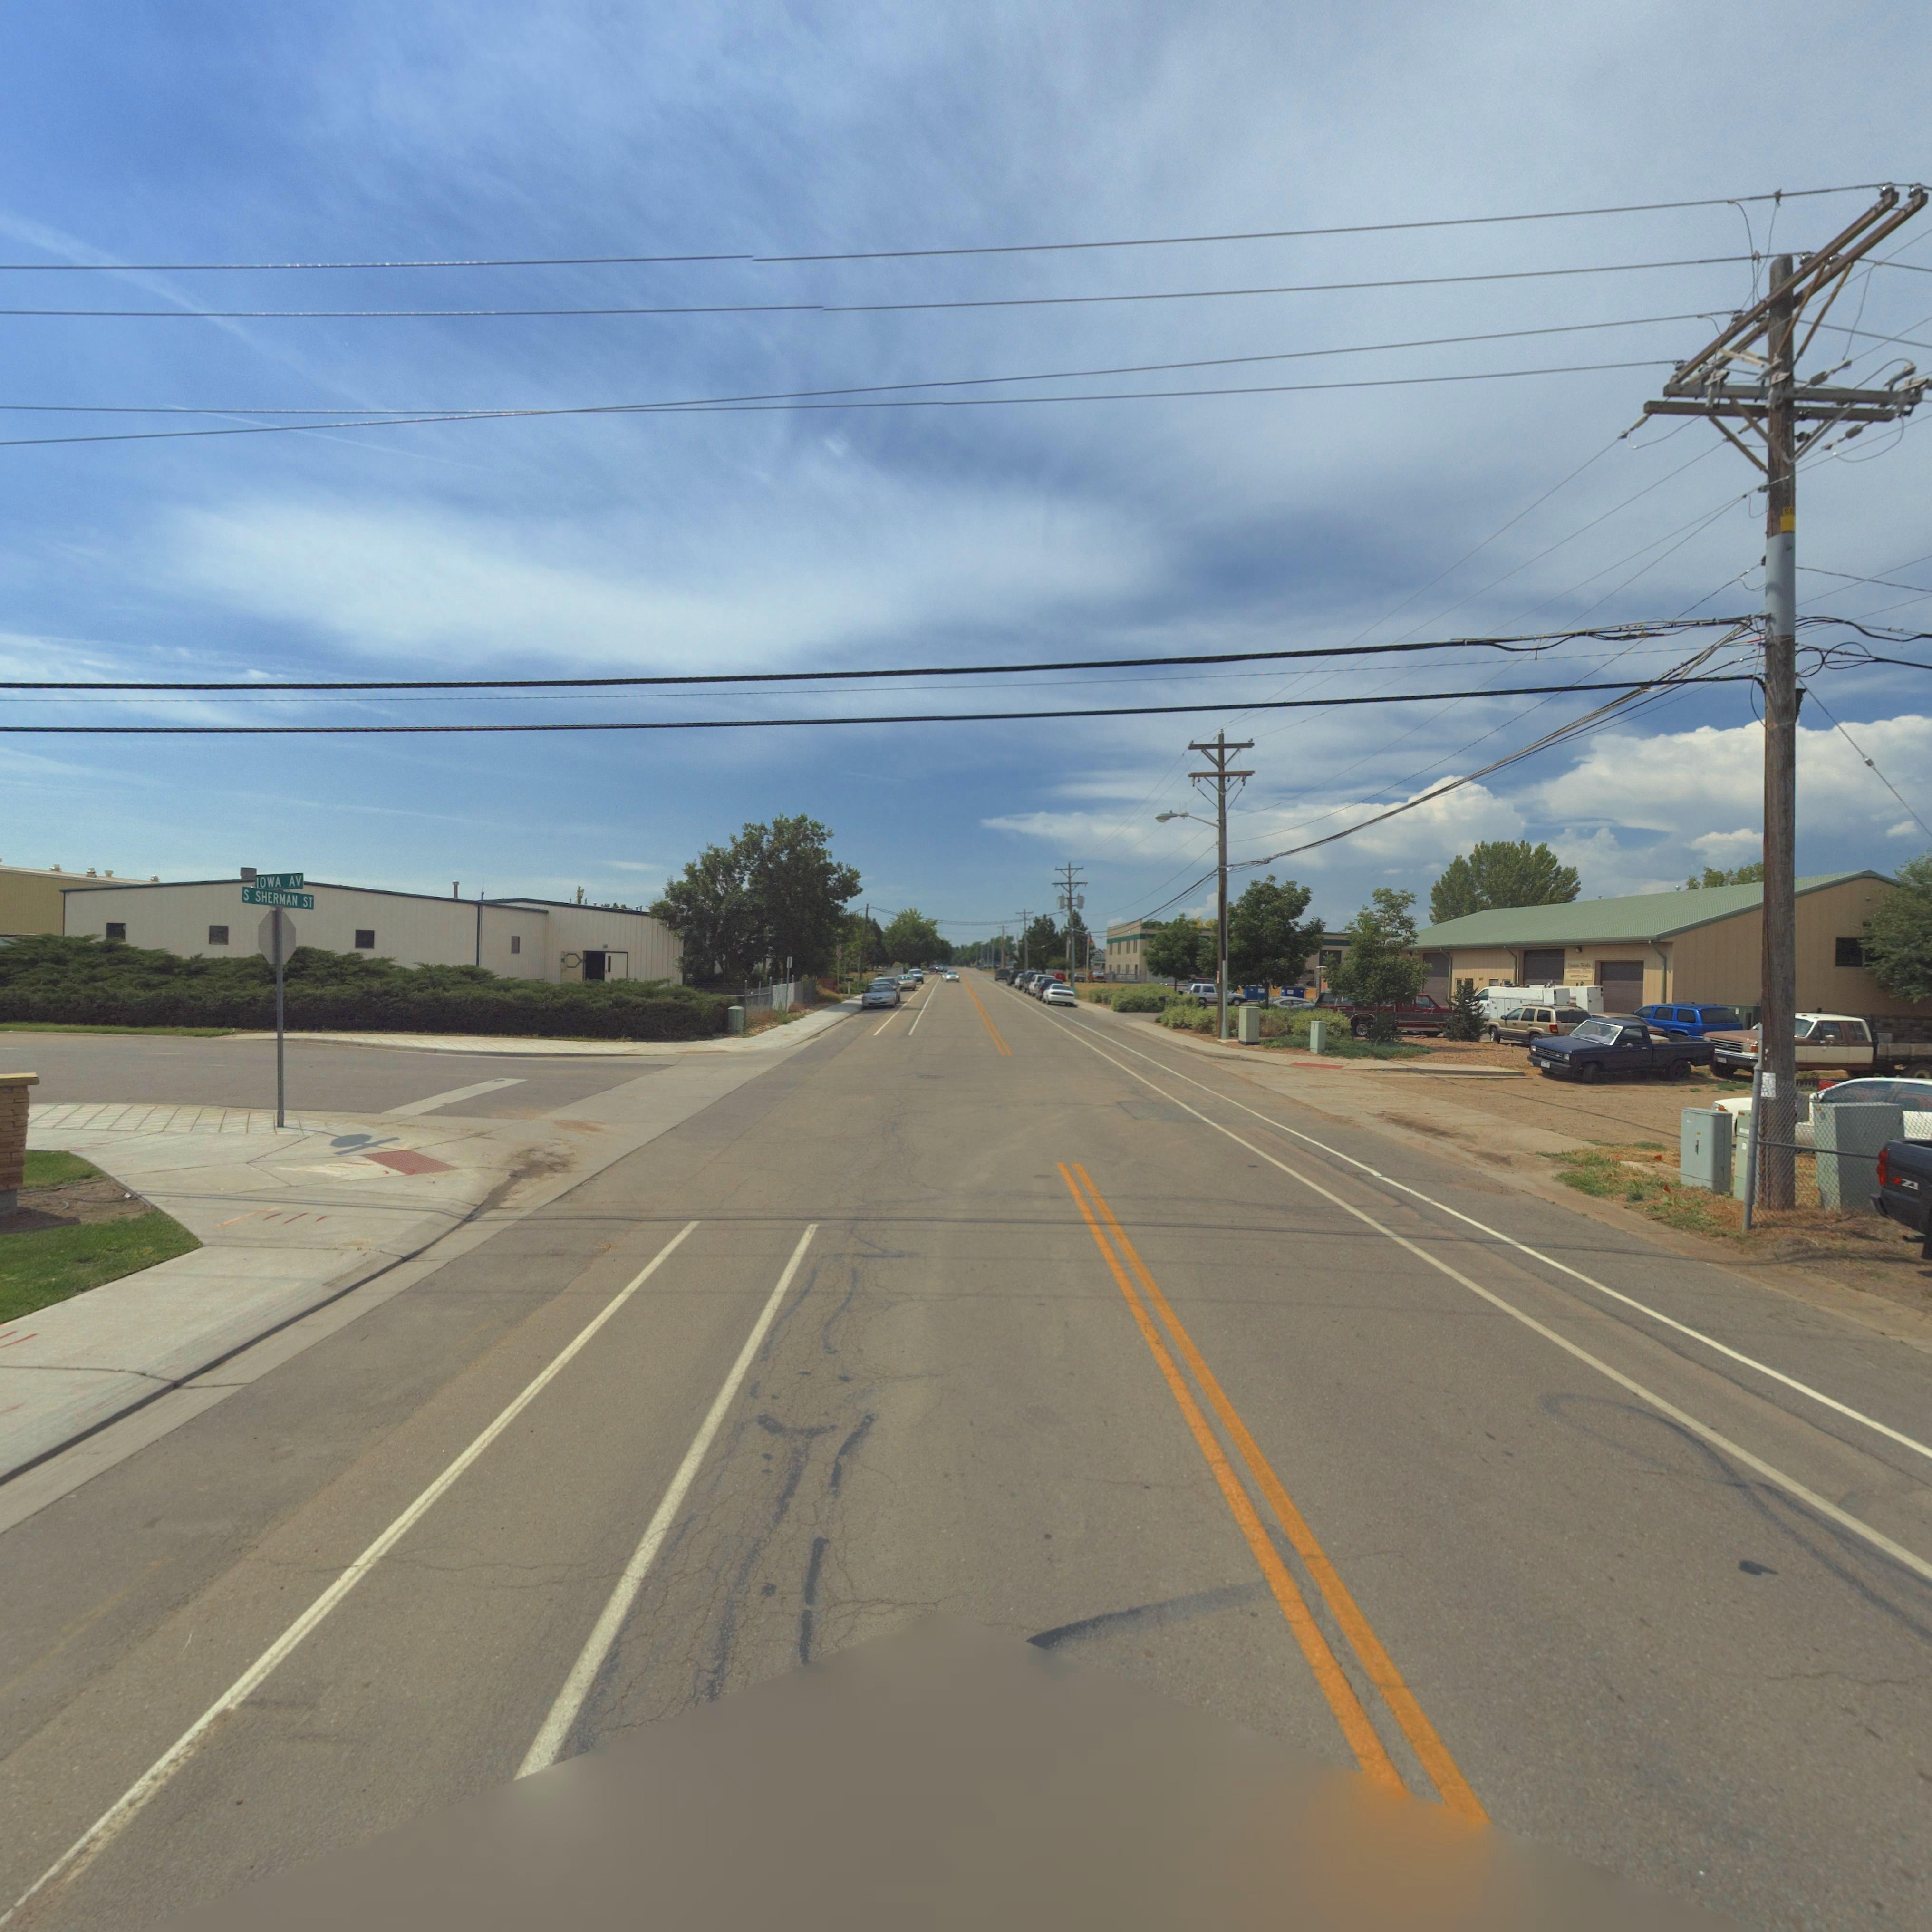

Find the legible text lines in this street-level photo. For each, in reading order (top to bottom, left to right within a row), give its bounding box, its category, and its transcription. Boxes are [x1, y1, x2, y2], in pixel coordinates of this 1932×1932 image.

[255, 874, 302, 889] StreetName: IOWA AV
[242, 888, 313, 908] StreetName: S SHERMAN ST
[1567, 962, 1591, 968] BusinessName: U***** W****